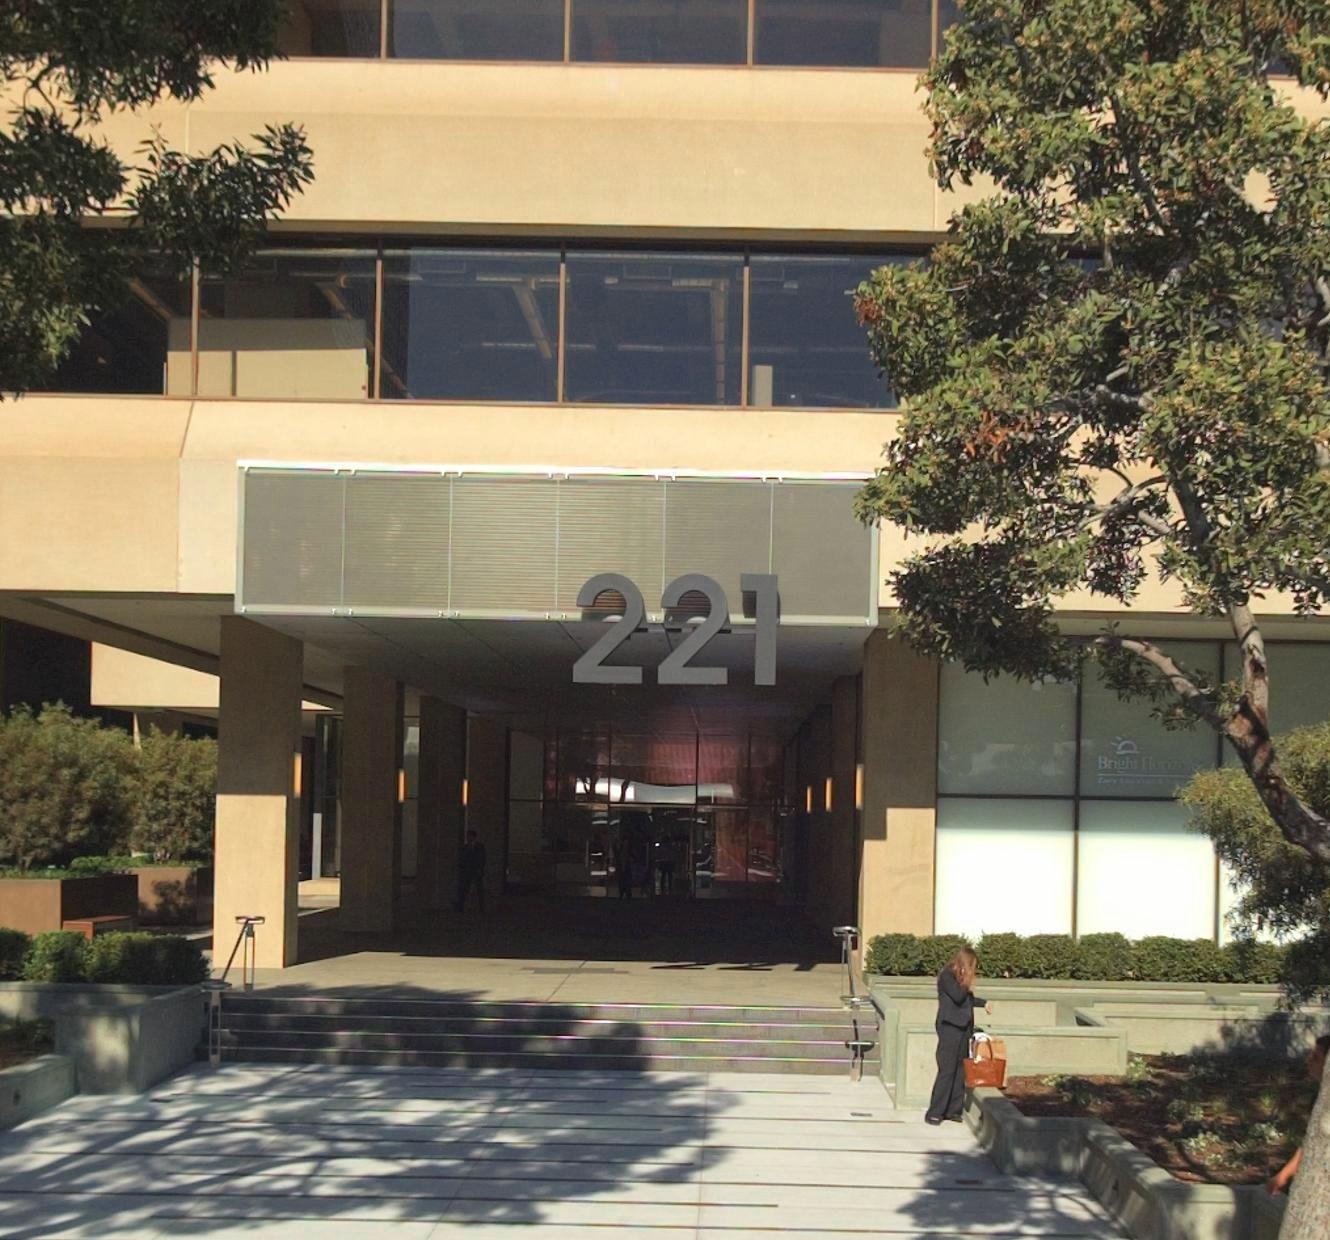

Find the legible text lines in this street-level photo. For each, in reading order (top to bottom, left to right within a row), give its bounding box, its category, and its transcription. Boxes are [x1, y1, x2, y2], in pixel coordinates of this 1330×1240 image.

[569, 571, 783, 689] StreetNumber: 221
[1097, 754, 1195, 774] BusinessName: Bright Horizon